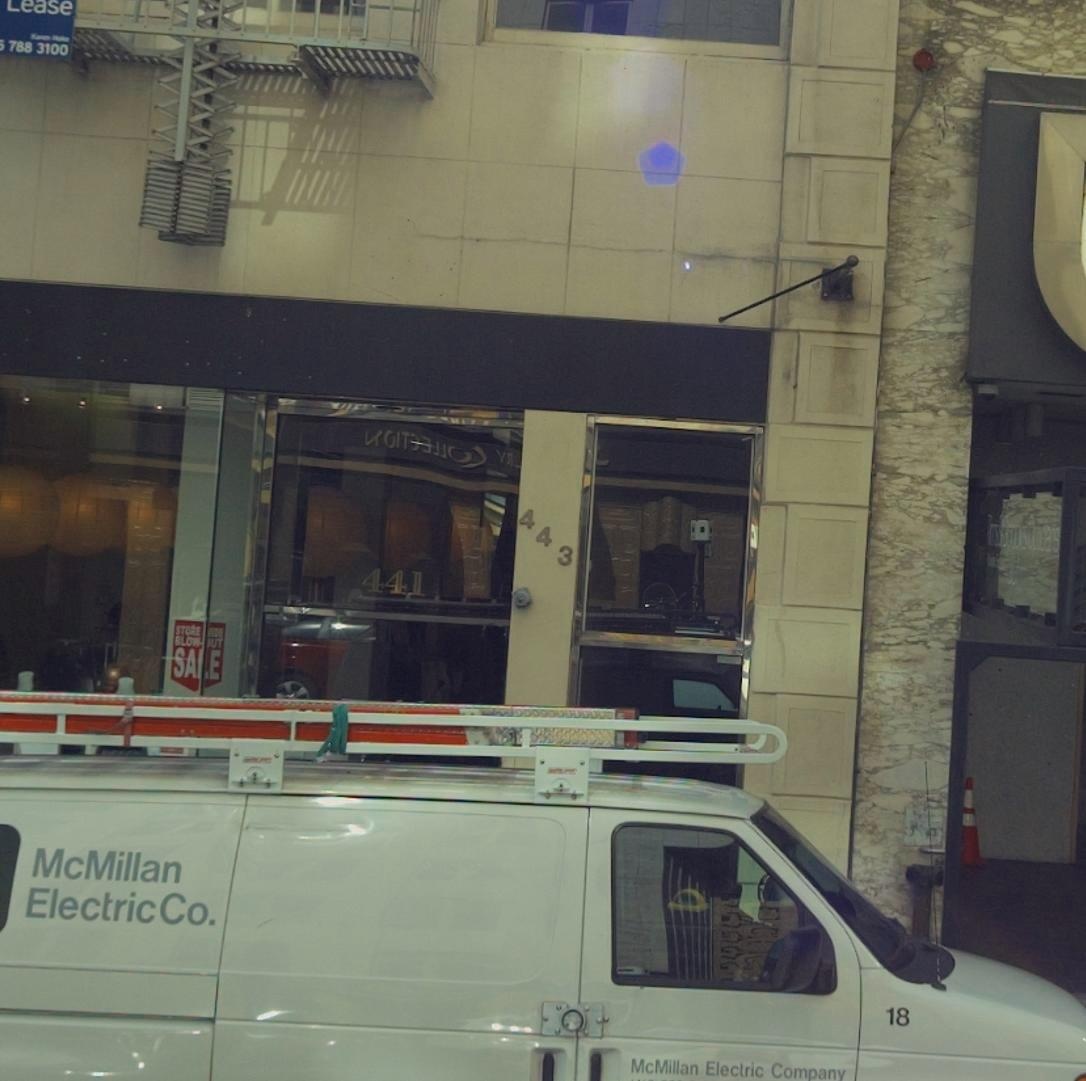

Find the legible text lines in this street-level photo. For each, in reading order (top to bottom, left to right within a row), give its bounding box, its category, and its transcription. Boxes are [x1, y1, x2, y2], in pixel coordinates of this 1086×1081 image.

[42, 0, 76, 18] None: se
[1, 35, 72, 61] None: 788 3100
[360, 420, 522, 479] None: *OIT****OX Y*
[513, 501, 577, 578] StreetNumber: 443
[173, 622, 204, 638] None: STORE
[172, 633, 205, 651] None: BLOW
[169, 646, 200, 683] None: SA
[206, 646, 223, 684] None: E
[26, 843, 194, 889] None: McMillan
[20, 882, 222, 930] None: Electric Co.
[884, 1003, 913, 1031] None: 18
[629, 1054, 839, 1081] None: McMillan Electric Company